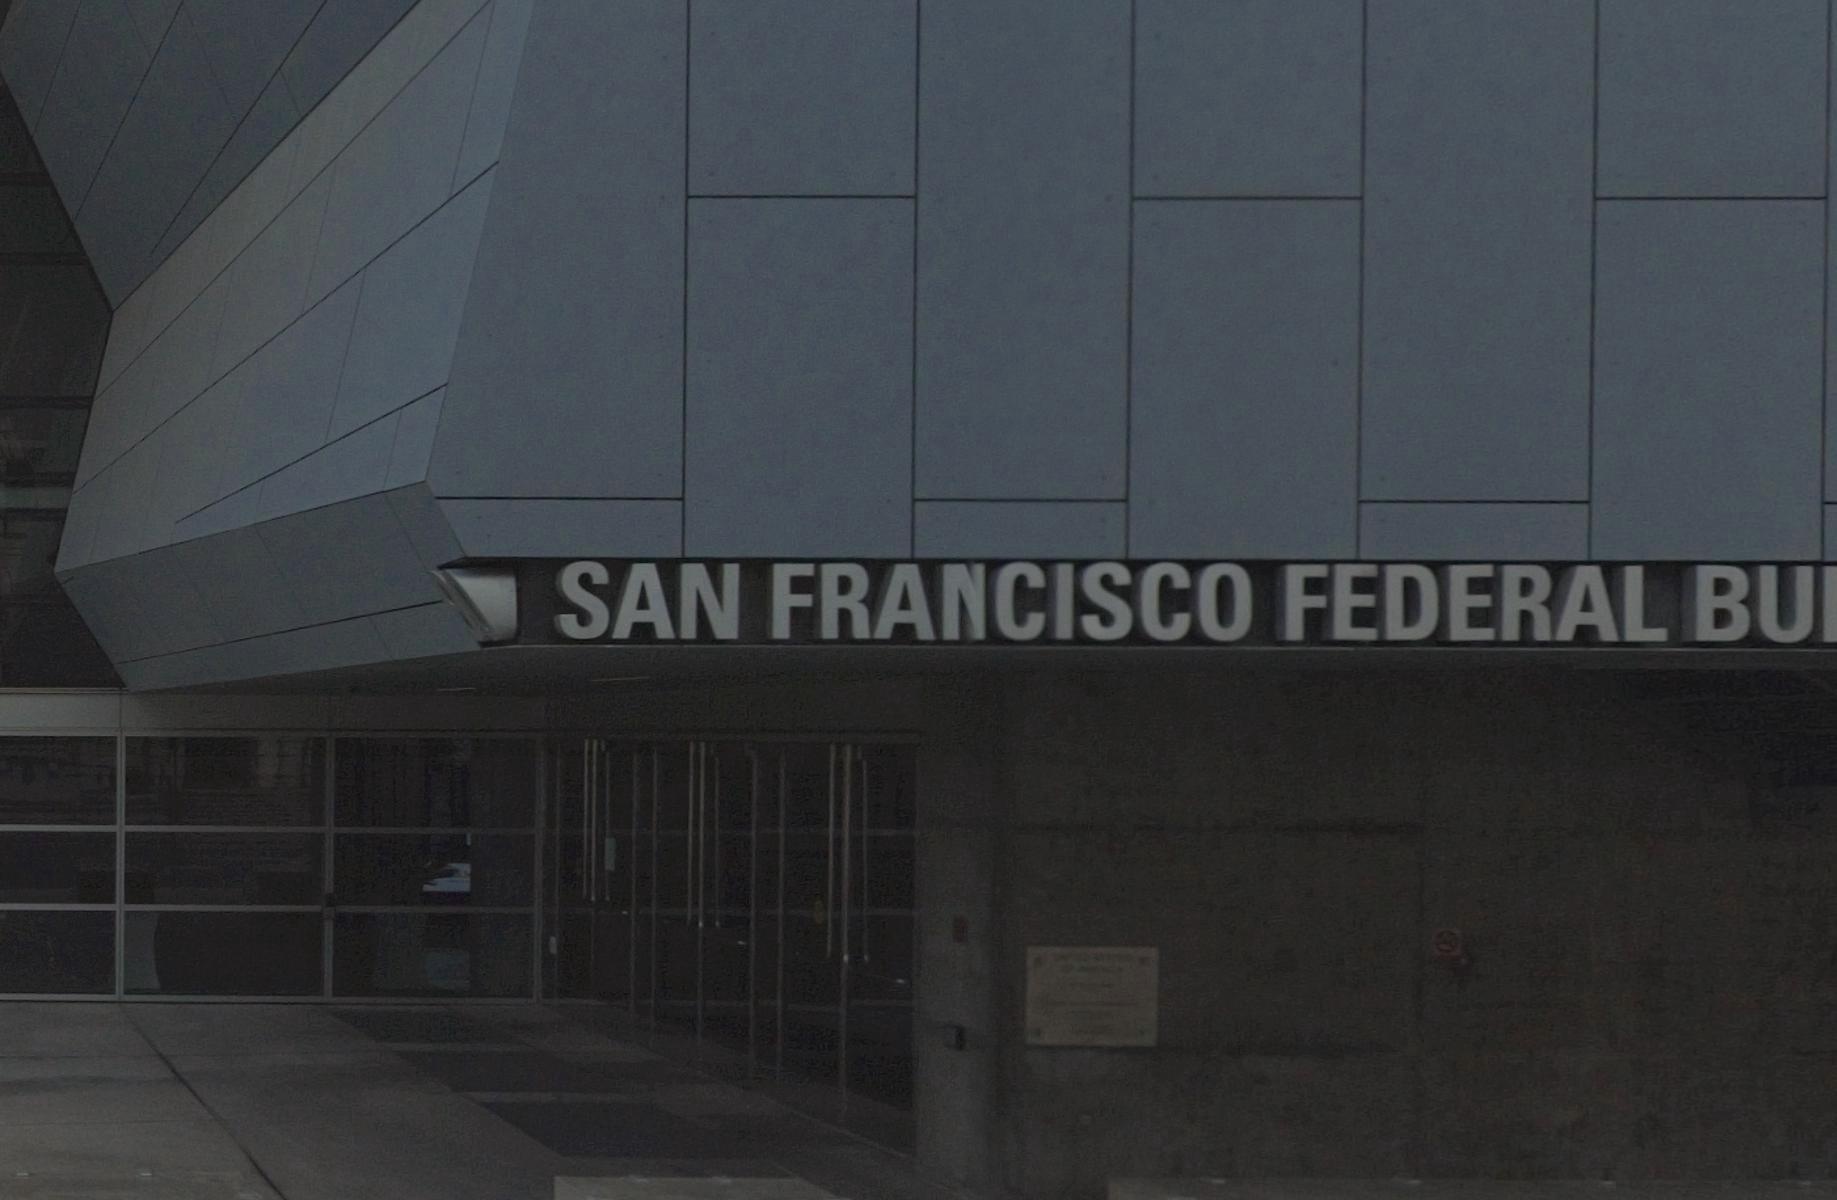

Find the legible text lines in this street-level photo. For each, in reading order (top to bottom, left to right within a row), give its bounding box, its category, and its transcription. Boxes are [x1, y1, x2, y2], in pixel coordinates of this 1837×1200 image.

[556, 559, 1837, 645] None: SAN FRANCISCO FEDERAL BU